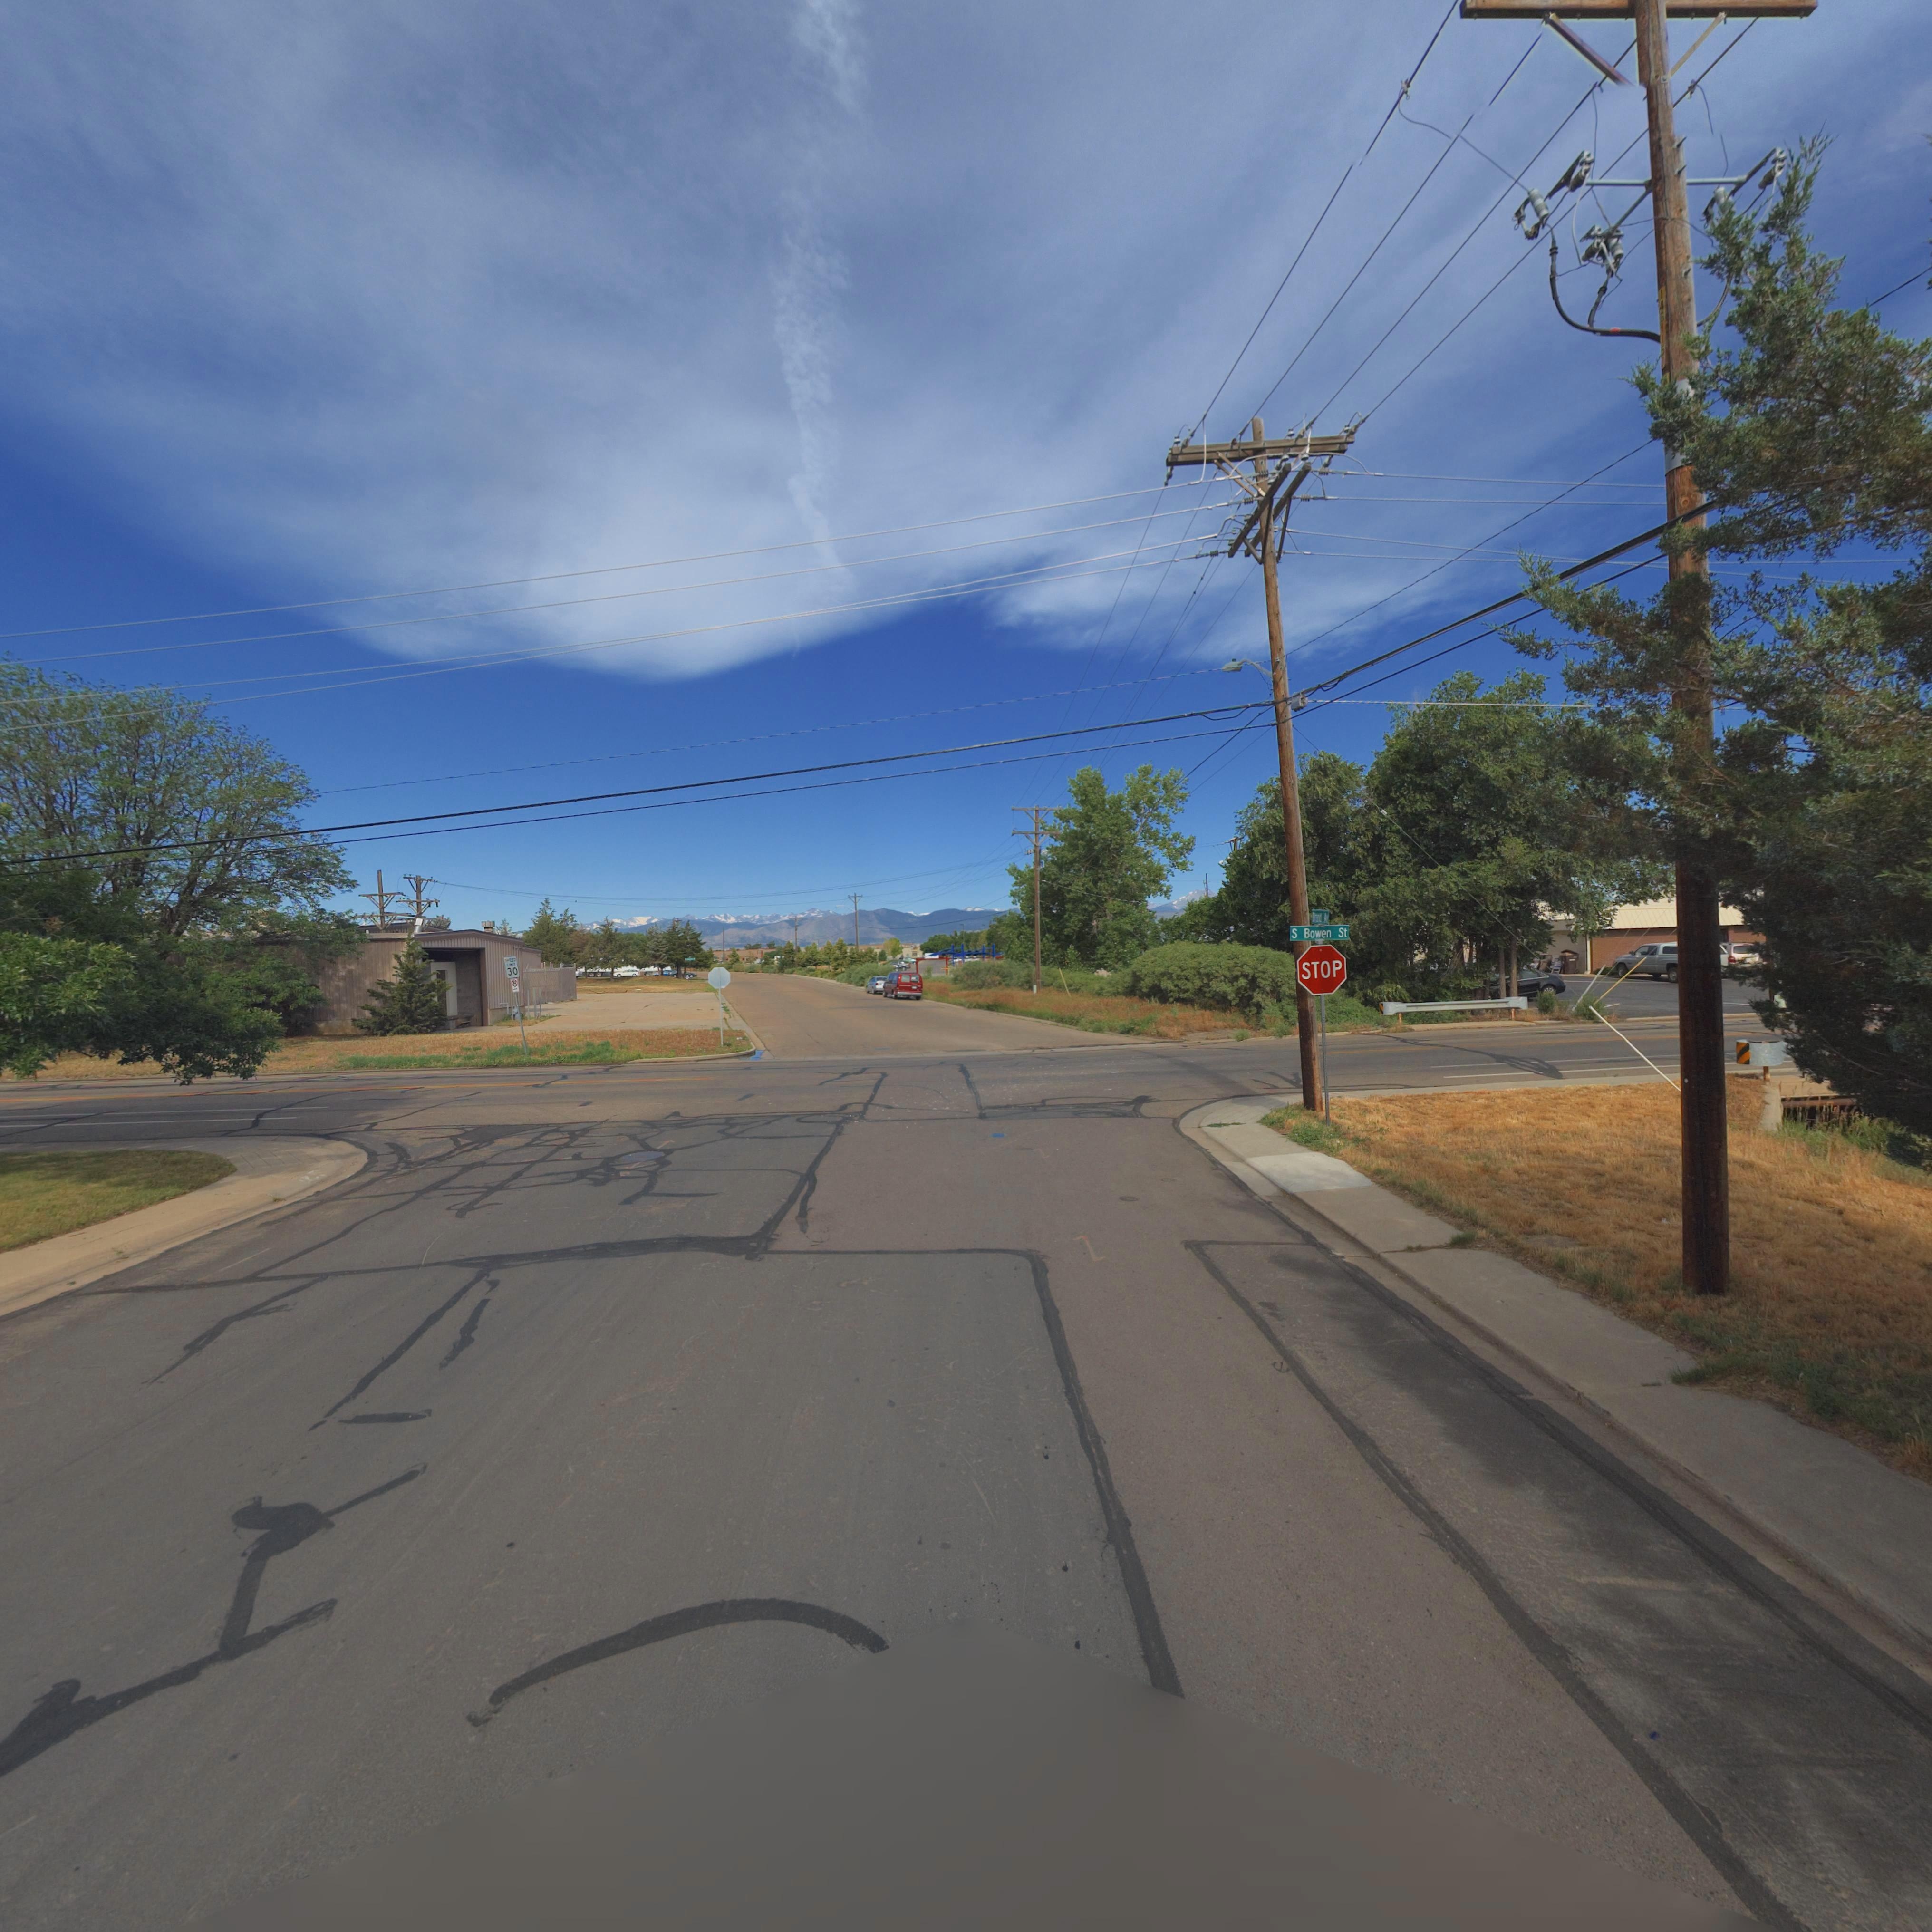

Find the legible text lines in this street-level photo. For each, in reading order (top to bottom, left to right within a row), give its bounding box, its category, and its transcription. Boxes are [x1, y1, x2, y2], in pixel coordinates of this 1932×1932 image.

[1312, 911, 1329, 923] StreetName: Grand Av
[1292, 927, 1348, 939] StreetName: S Bowen St